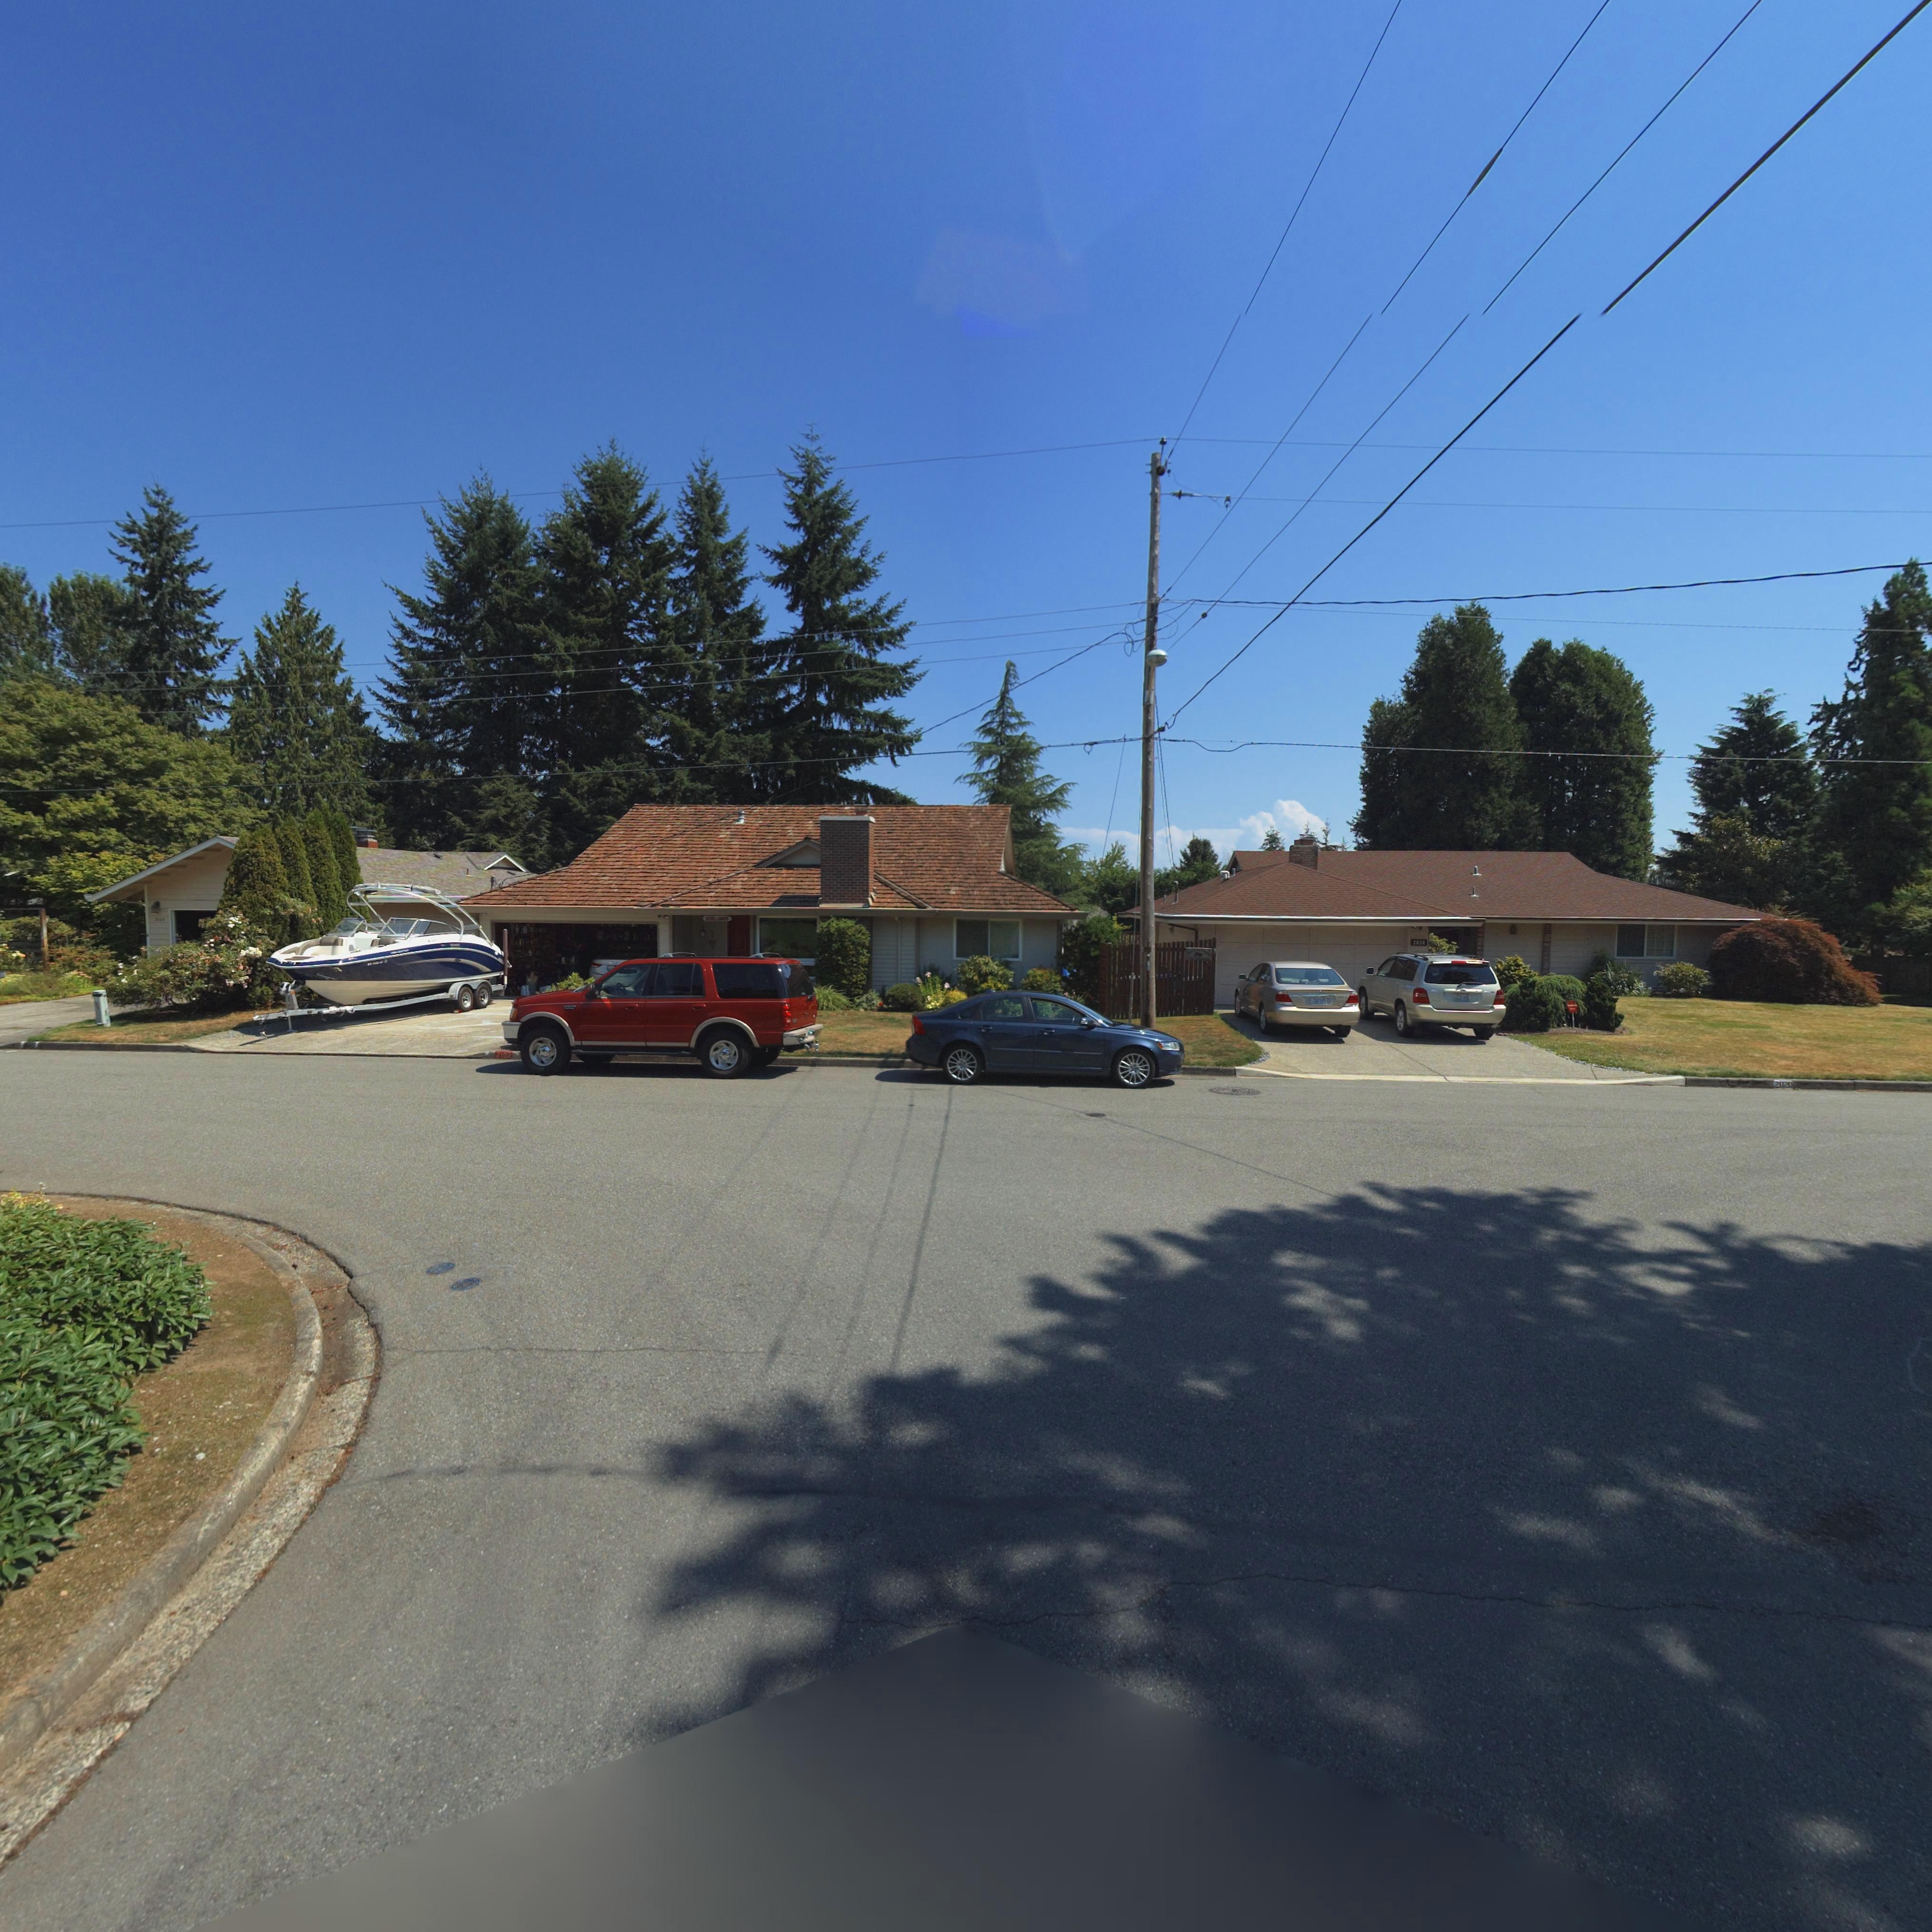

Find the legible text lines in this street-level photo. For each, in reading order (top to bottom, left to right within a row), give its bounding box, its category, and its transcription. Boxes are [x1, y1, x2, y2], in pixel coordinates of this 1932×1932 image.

[1412, 940, 1425, 945] StreetNumber: **20